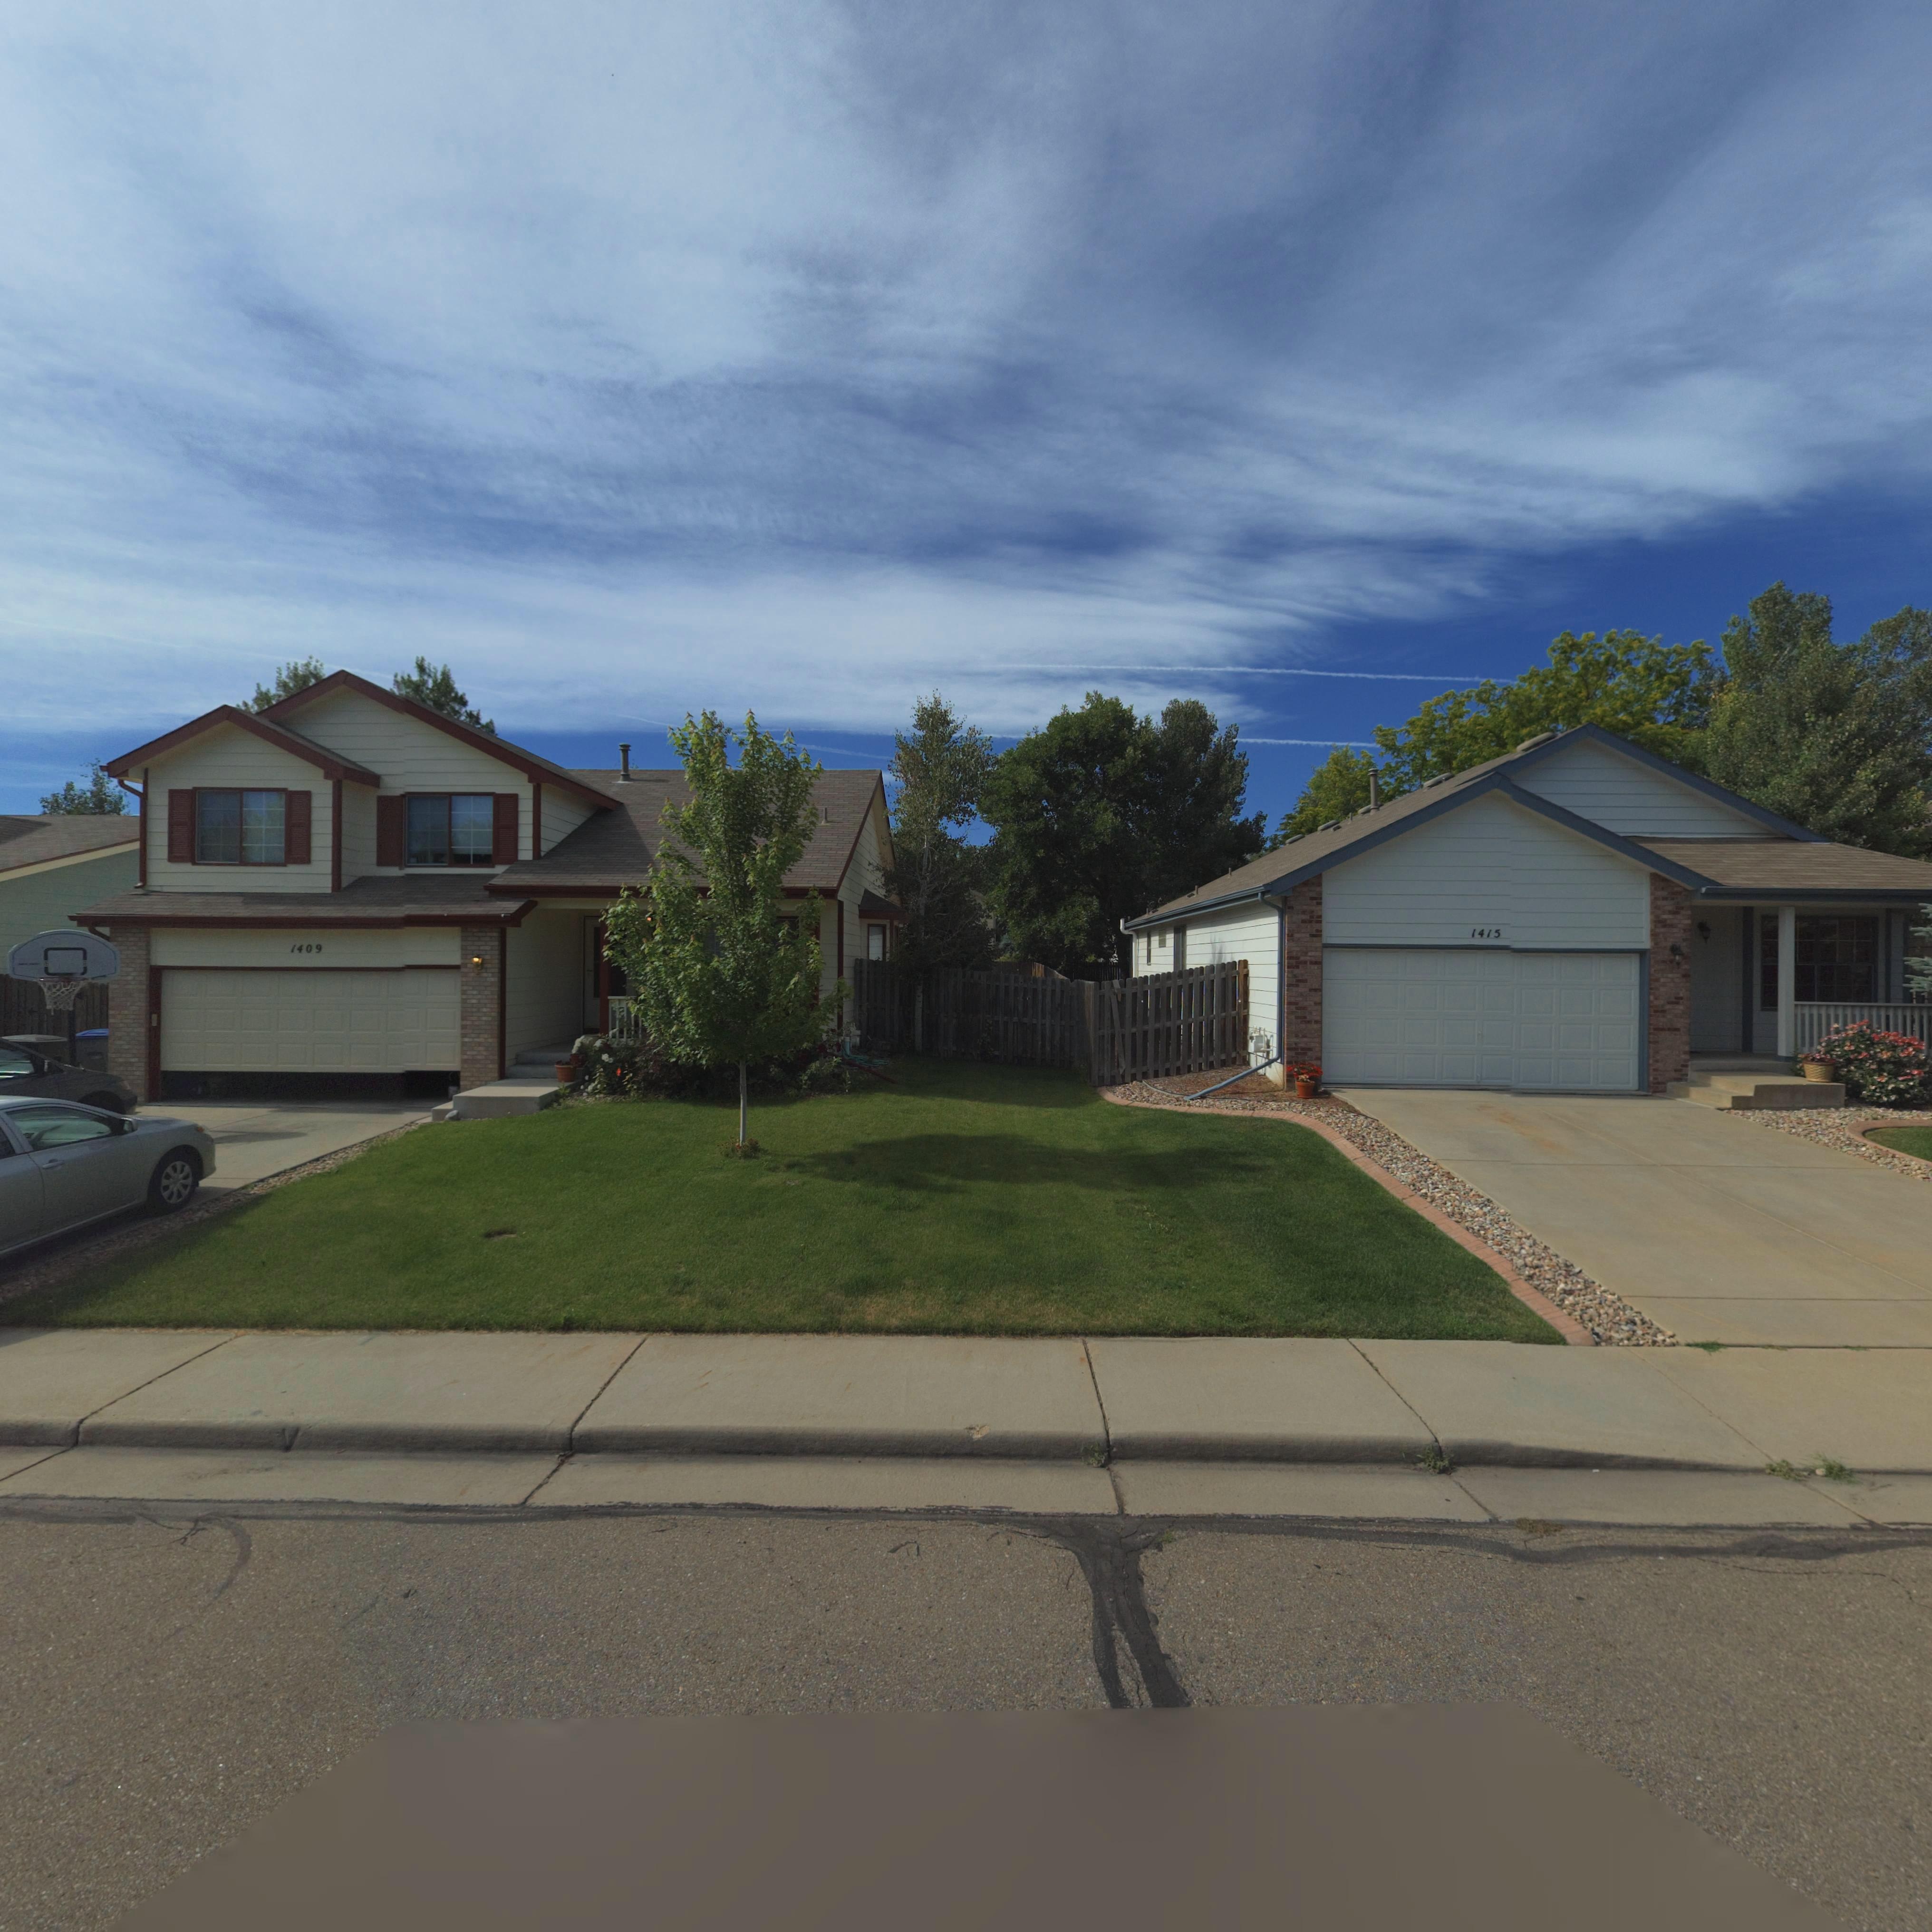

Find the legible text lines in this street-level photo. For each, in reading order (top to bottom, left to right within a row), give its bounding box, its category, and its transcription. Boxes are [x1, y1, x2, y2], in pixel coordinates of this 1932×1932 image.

[1471, 928, 1501, 938] StreetNumber: 1415
[290, 943, 323, 953] StreetNumber: 1409